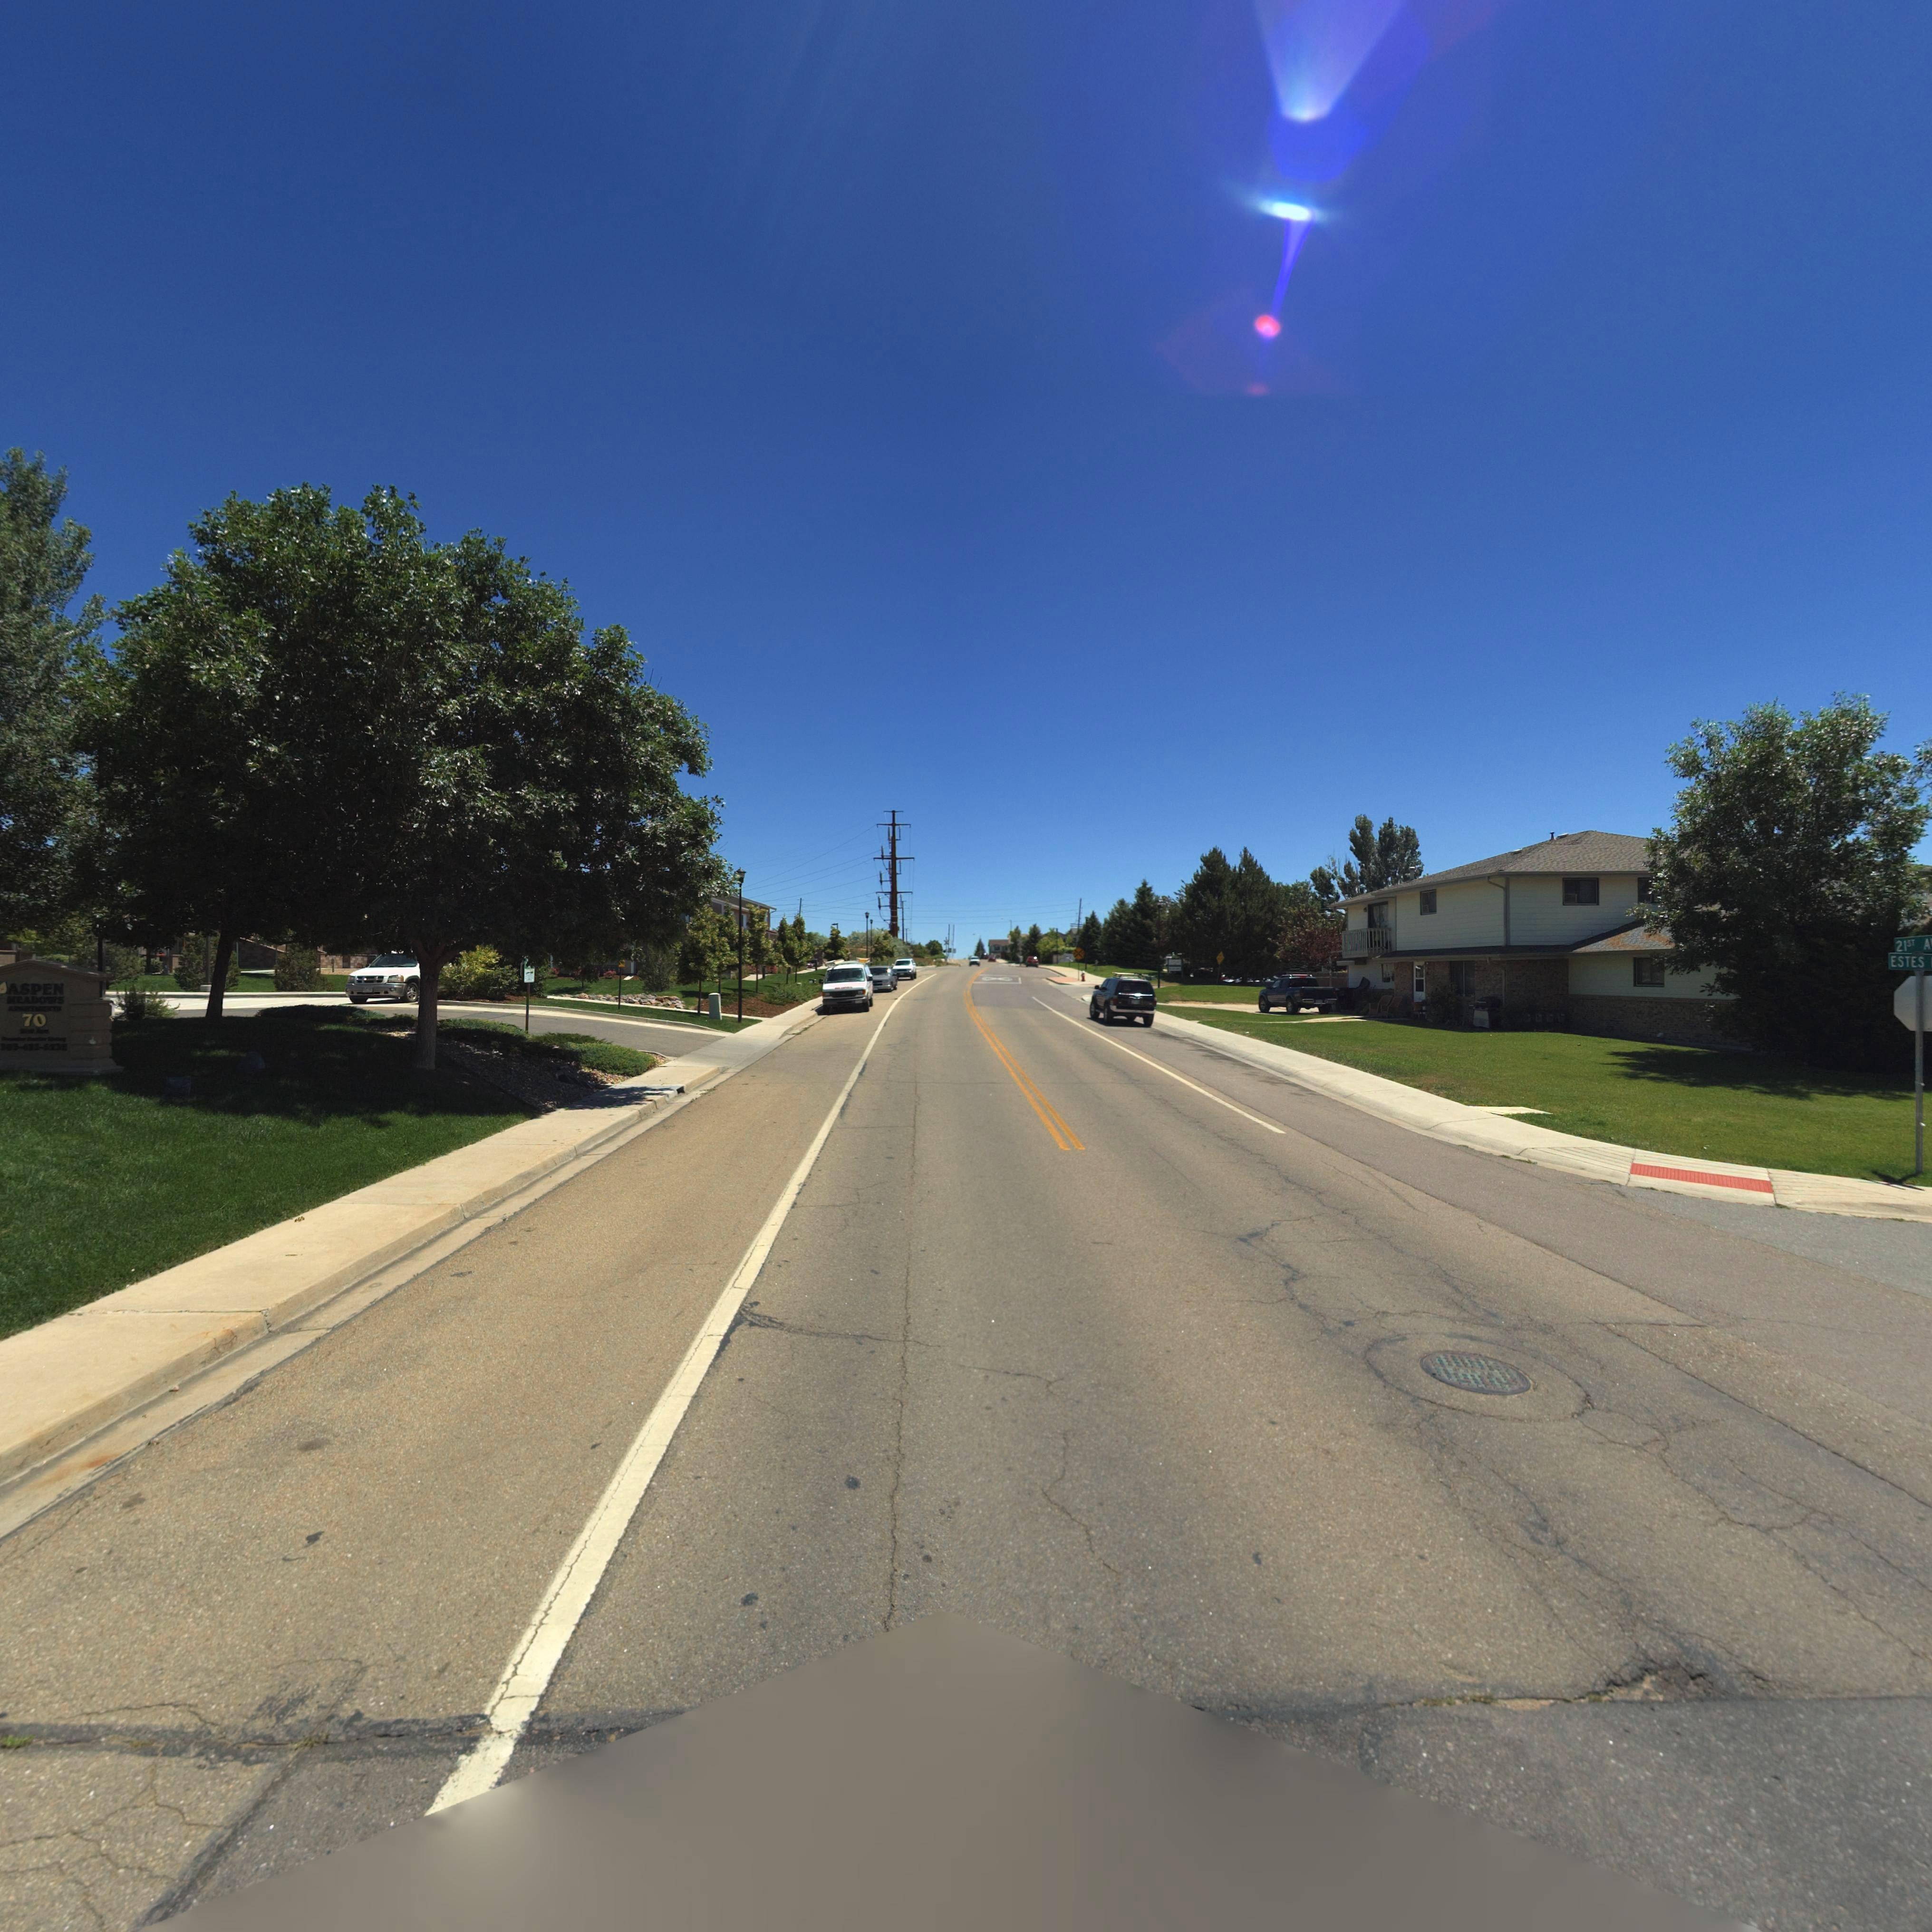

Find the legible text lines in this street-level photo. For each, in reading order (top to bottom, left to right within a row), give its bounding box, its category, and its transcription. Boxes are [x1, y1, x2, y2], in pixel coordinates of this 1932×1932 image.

[1895, 938, 1931, 951] StreetName: 21ST AV
[1891, 956, 1923, 967] StreetName: ESTES